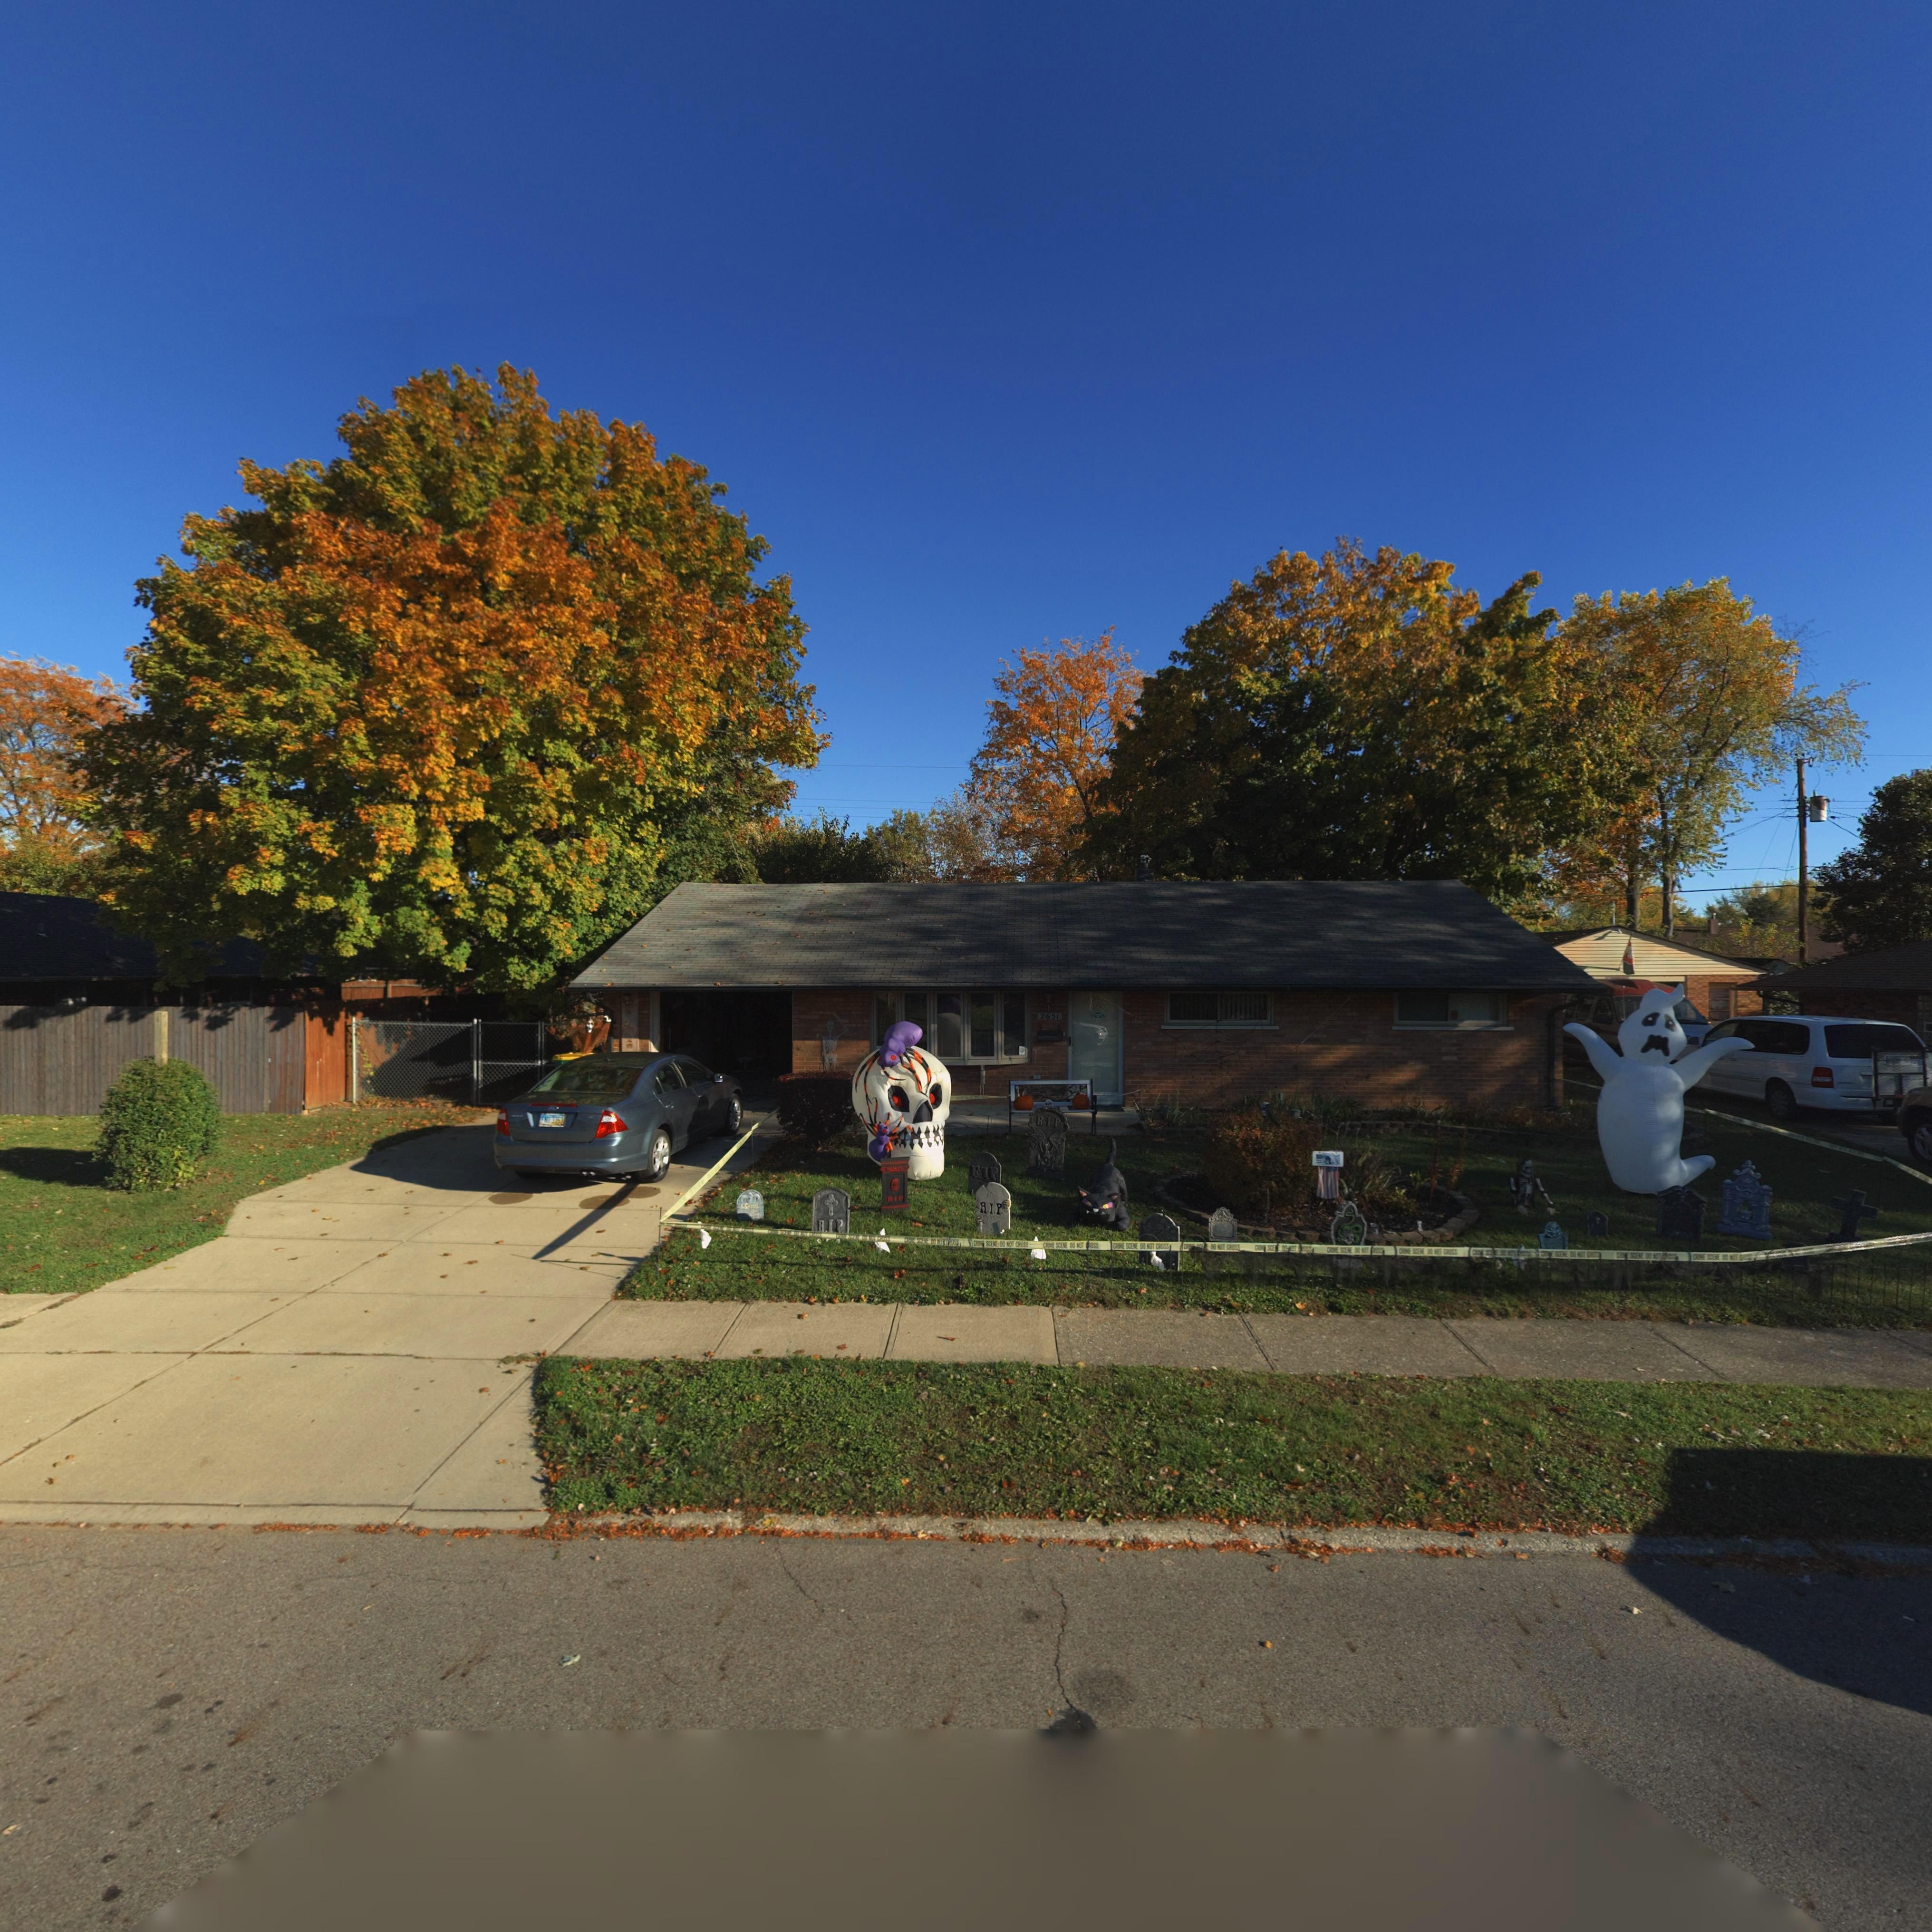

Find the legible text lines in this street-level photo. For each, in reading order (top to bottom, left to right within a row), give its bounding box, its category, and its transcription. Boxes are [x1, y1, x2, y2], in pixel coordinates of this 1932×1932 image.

[1039, 1012, 1060, 1020] StreetNumber: 2651